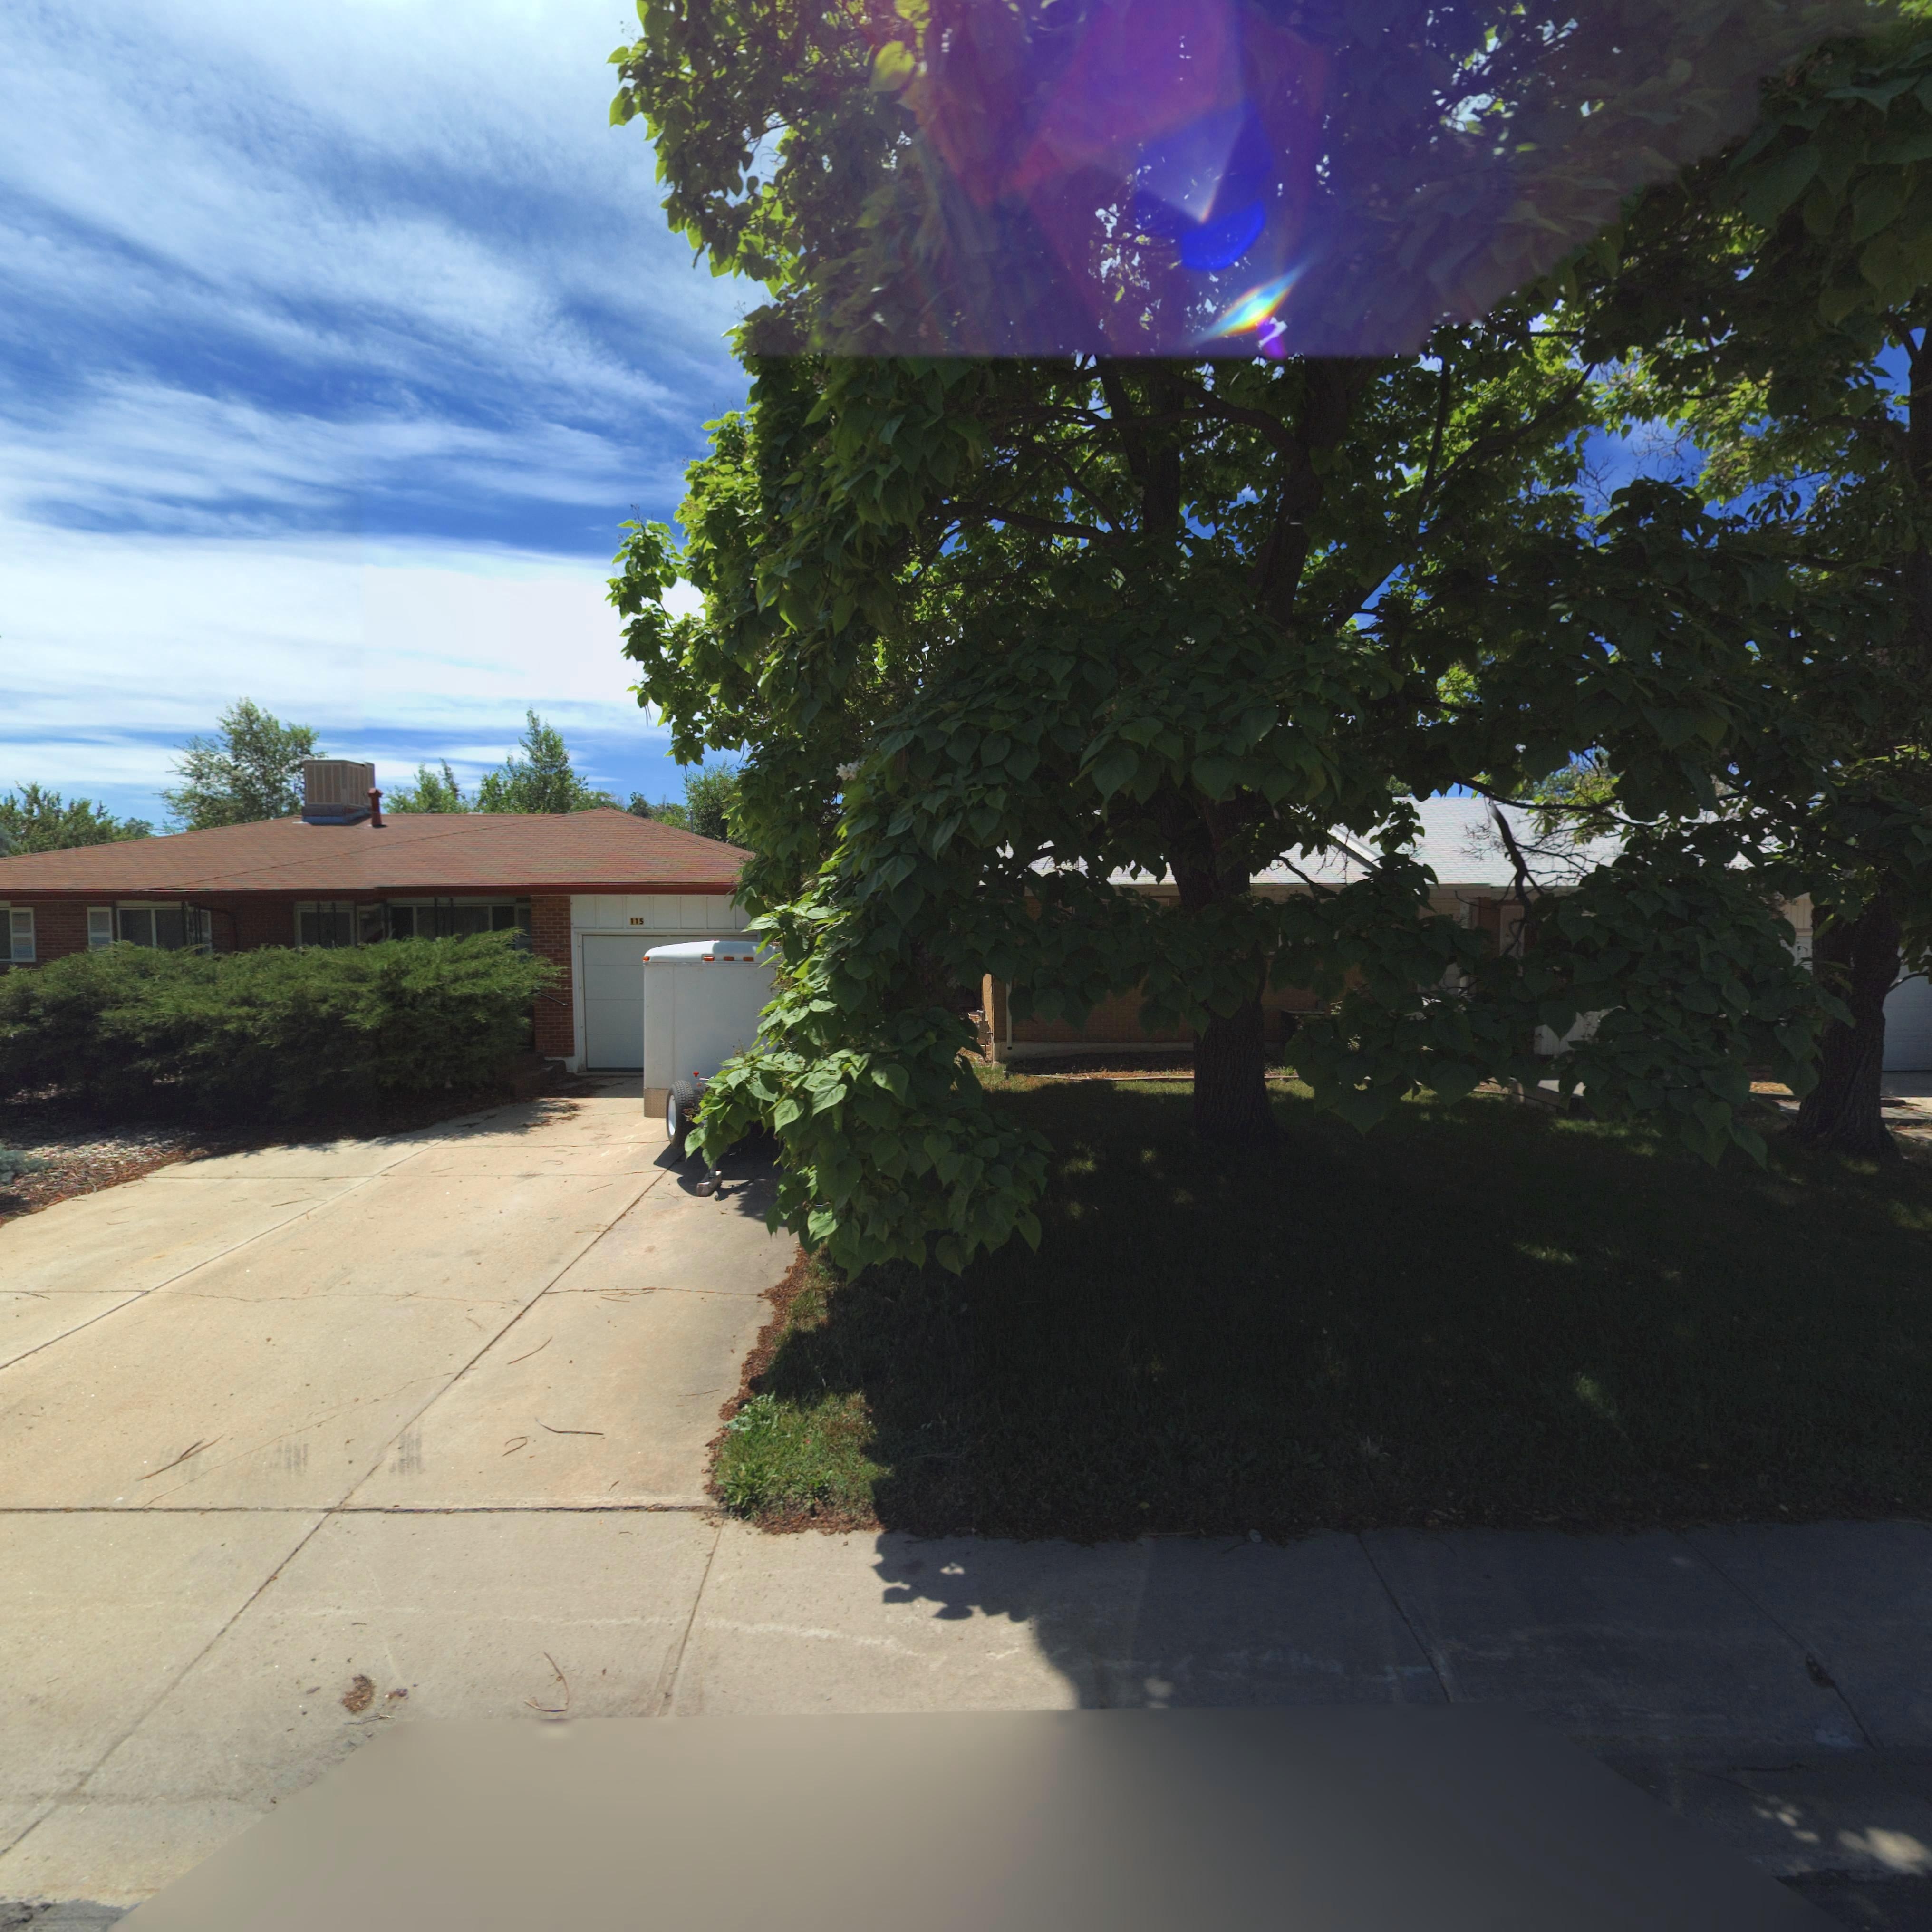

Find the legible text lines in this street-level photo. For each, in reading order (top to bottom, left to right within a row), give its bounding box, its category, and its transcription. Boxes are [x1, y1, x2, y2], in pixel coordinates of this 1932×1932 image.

[630, 918, 644, 924] StreetNumber: 115